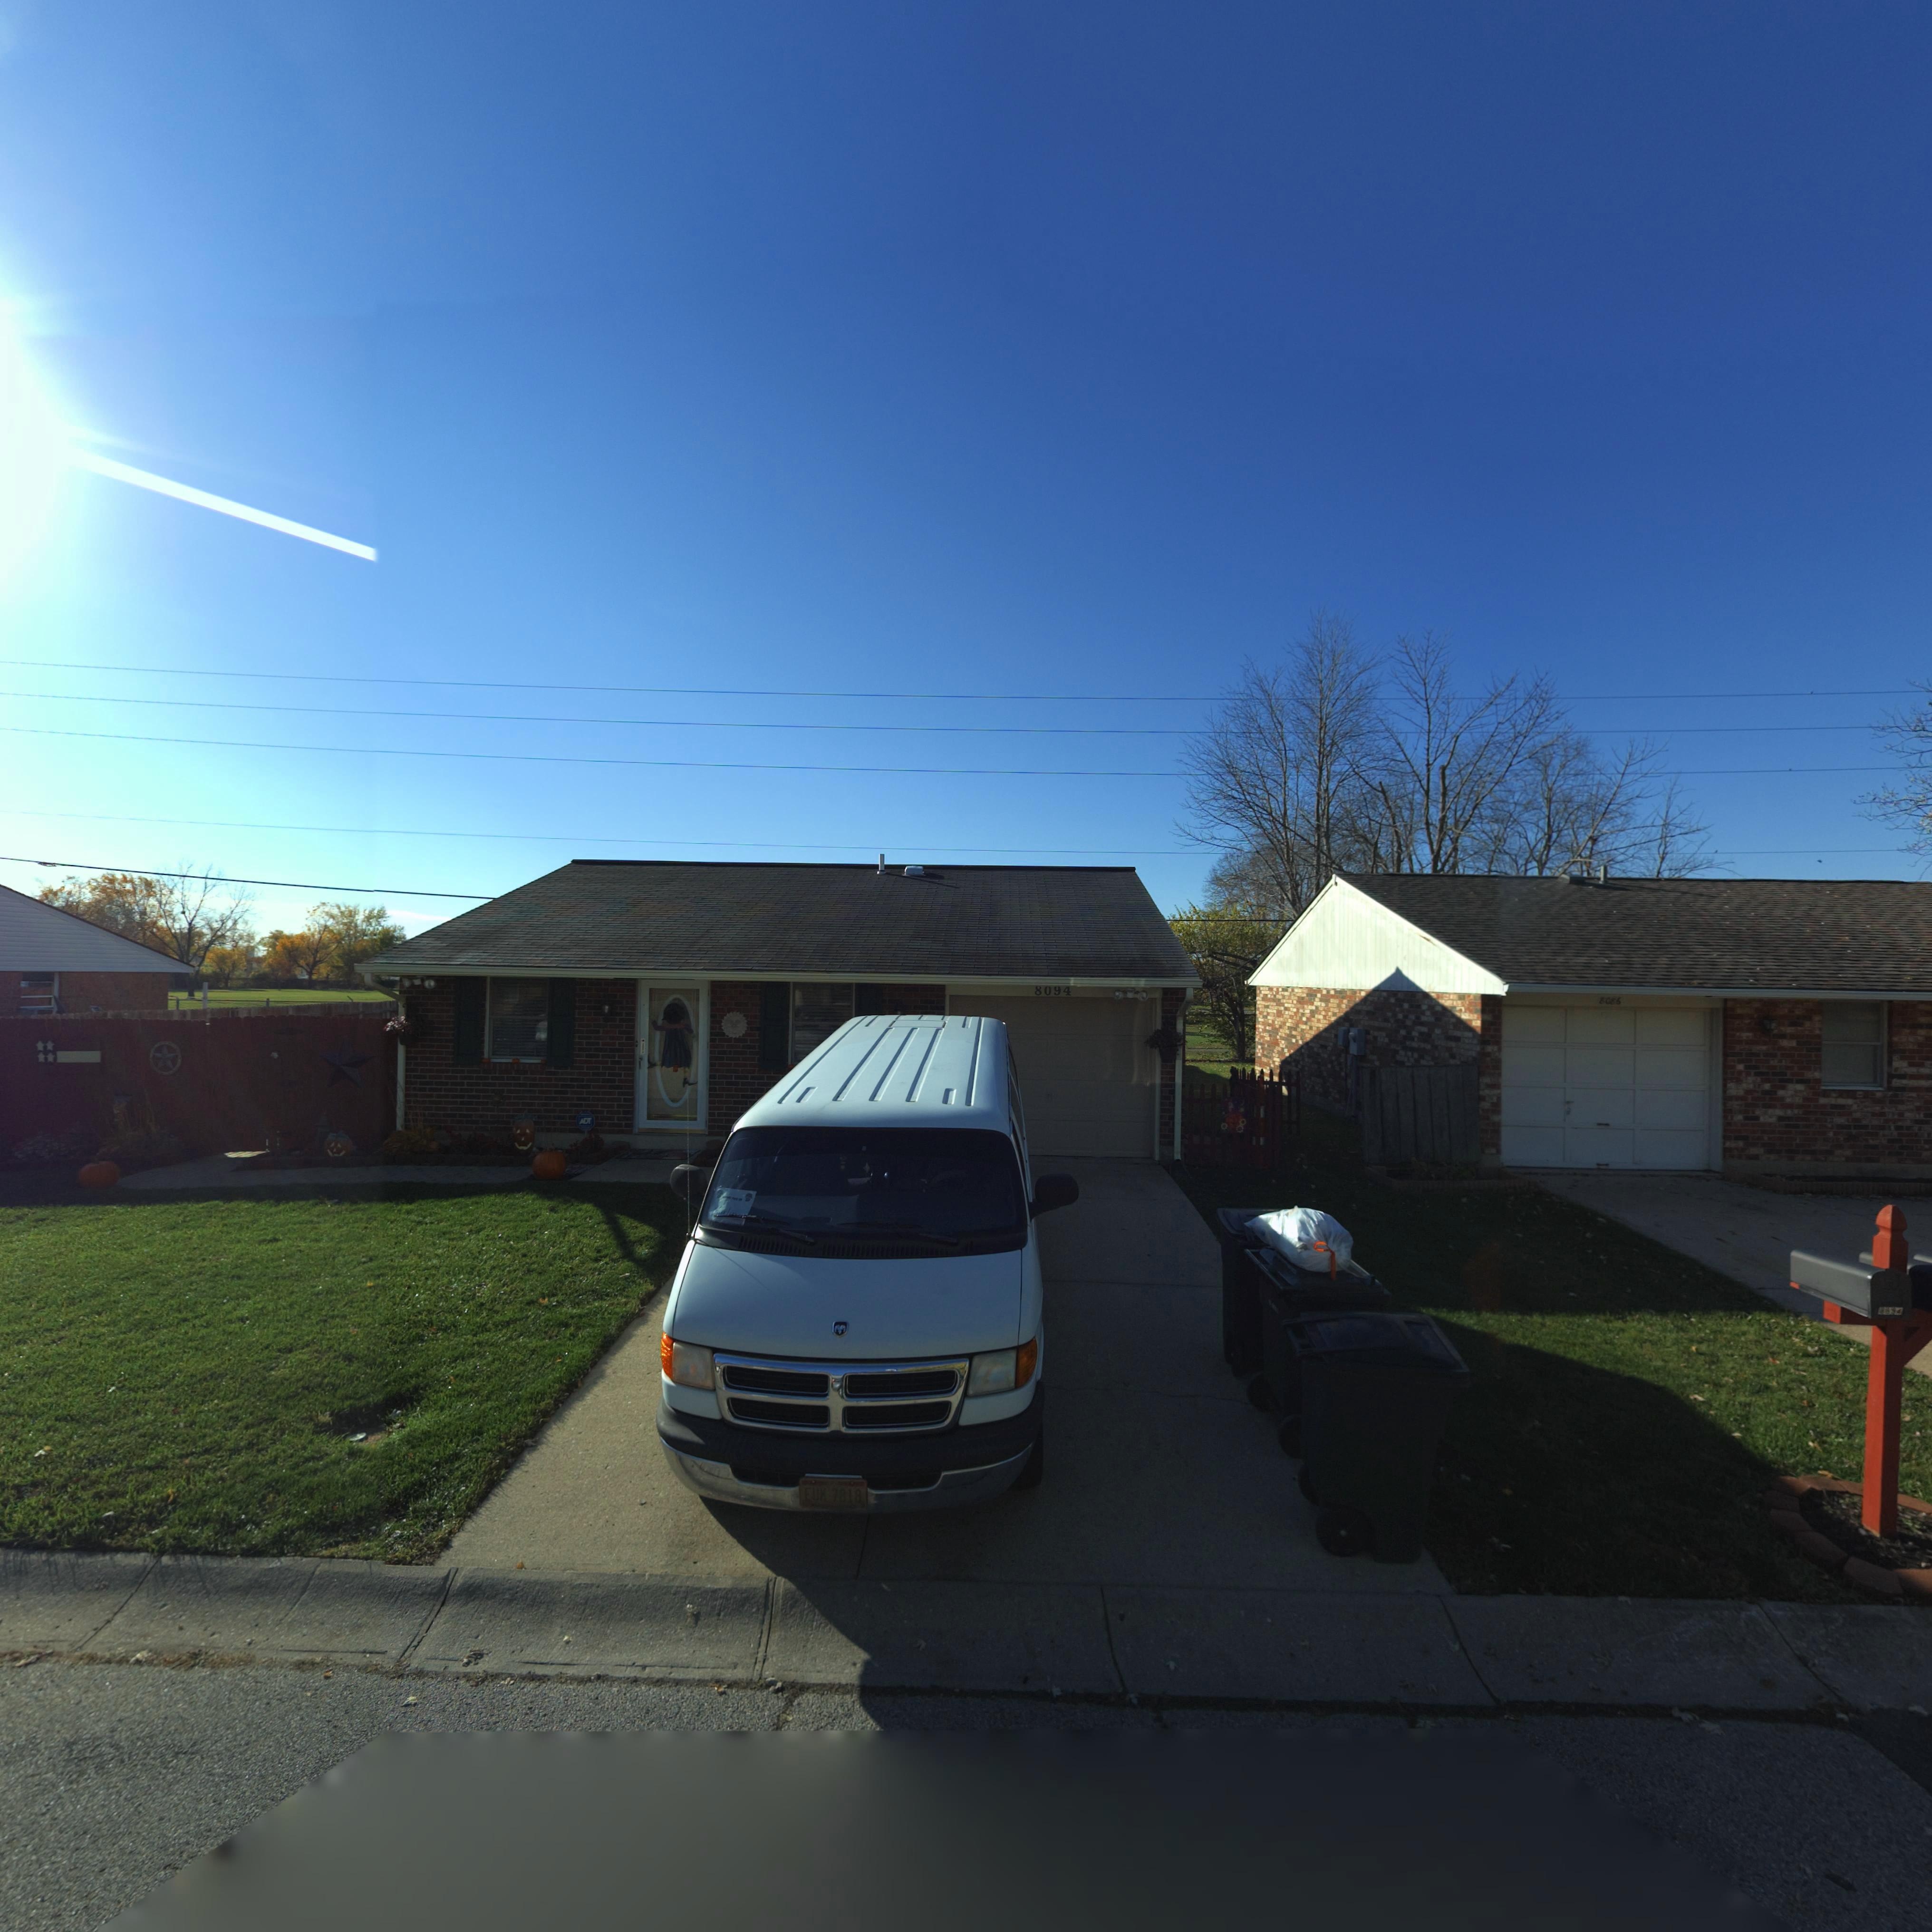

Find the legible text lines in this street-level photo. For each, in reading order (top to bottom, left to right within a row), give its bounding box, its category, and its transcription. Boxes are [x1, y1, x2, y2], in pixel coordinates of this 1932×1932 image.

[1034, 985, 1072, 997] StreetNumber: 8094
[1598, 995, 1623, 1006] StreetNumber: 8086